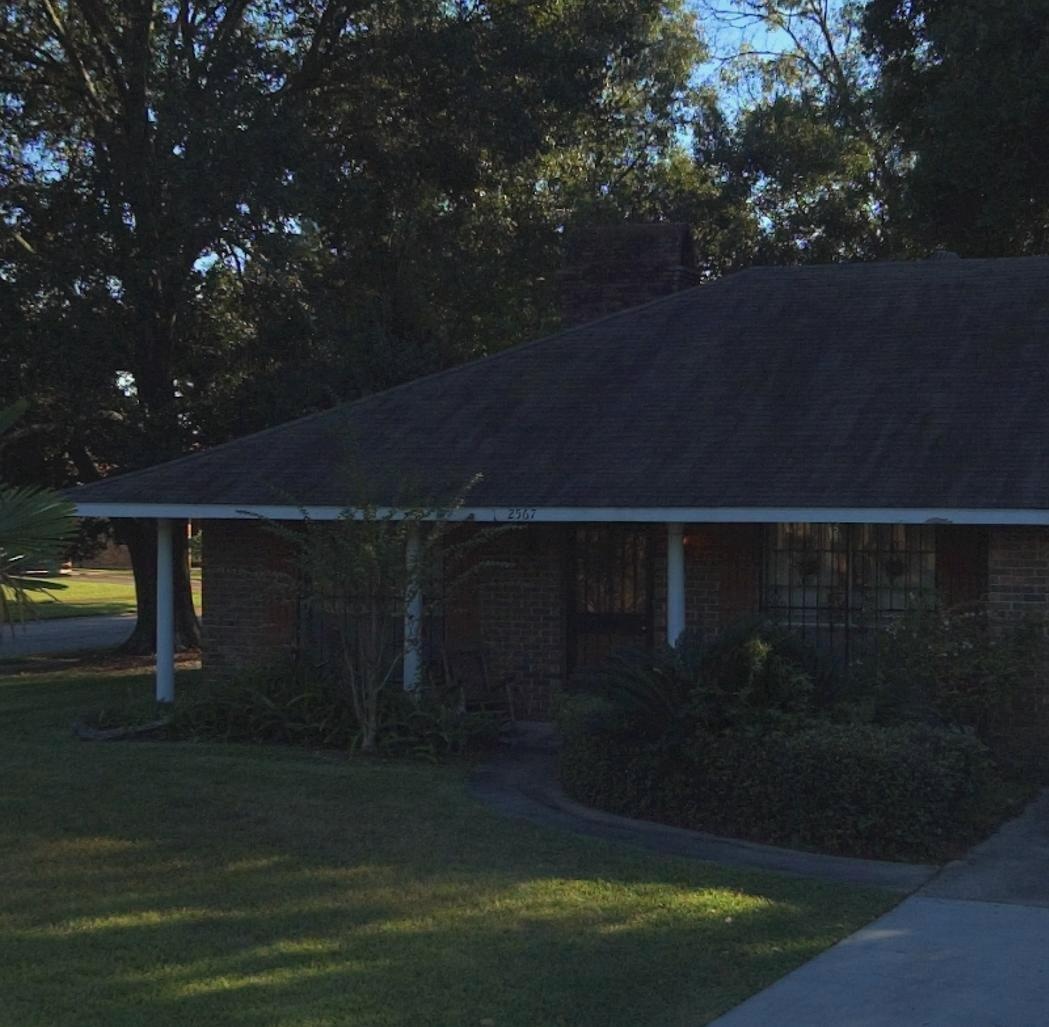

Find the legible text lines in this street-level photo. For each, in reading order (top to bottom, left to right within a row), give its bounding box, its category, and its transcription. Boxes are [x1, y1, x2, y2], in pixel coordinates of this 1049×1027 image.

[506, 507, 538, 521] StreetNumber: 2567